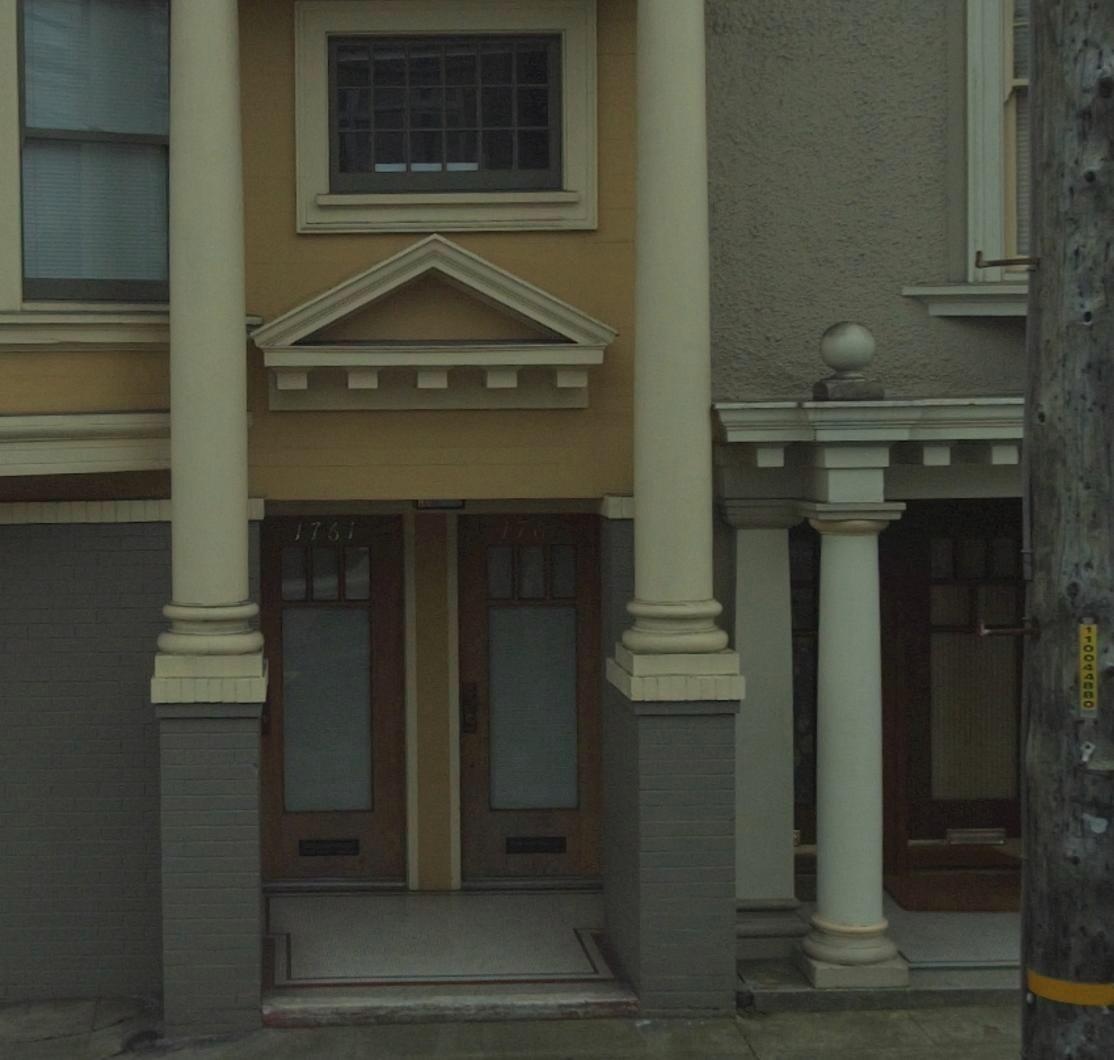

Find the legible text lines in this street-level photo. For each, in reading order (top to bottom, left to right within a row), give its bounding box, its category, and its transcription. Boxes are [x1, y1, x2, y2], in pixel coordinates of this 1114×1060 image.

[293, 520, 356, 542] StreetNumber: 1761
[499, 521, 545, 541] StreetNumber: 176
[1081, 625, 1096, 711] None: 110044880
[462, 712, 478, 733] StreetNumber: 5